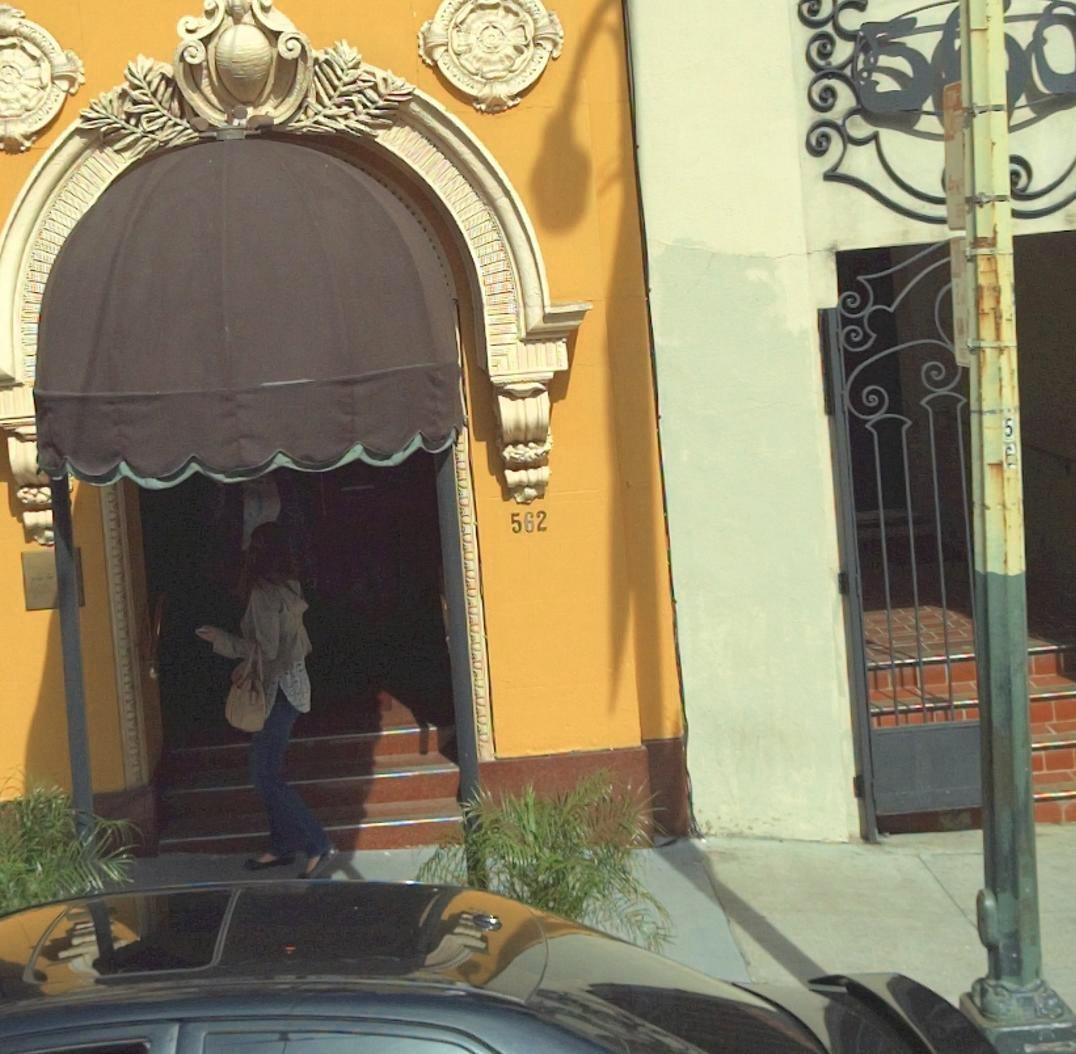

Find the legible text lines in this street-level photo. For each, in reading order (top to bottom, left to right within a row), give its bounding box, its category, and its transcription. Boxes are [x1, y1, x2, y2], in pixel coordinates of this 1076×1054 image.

[852, 8, 949, 124] StreetNumber: 5
[1002, 414, 1016, 442] None: 5
[505, 507, 552, 539] StreetNumber: 562